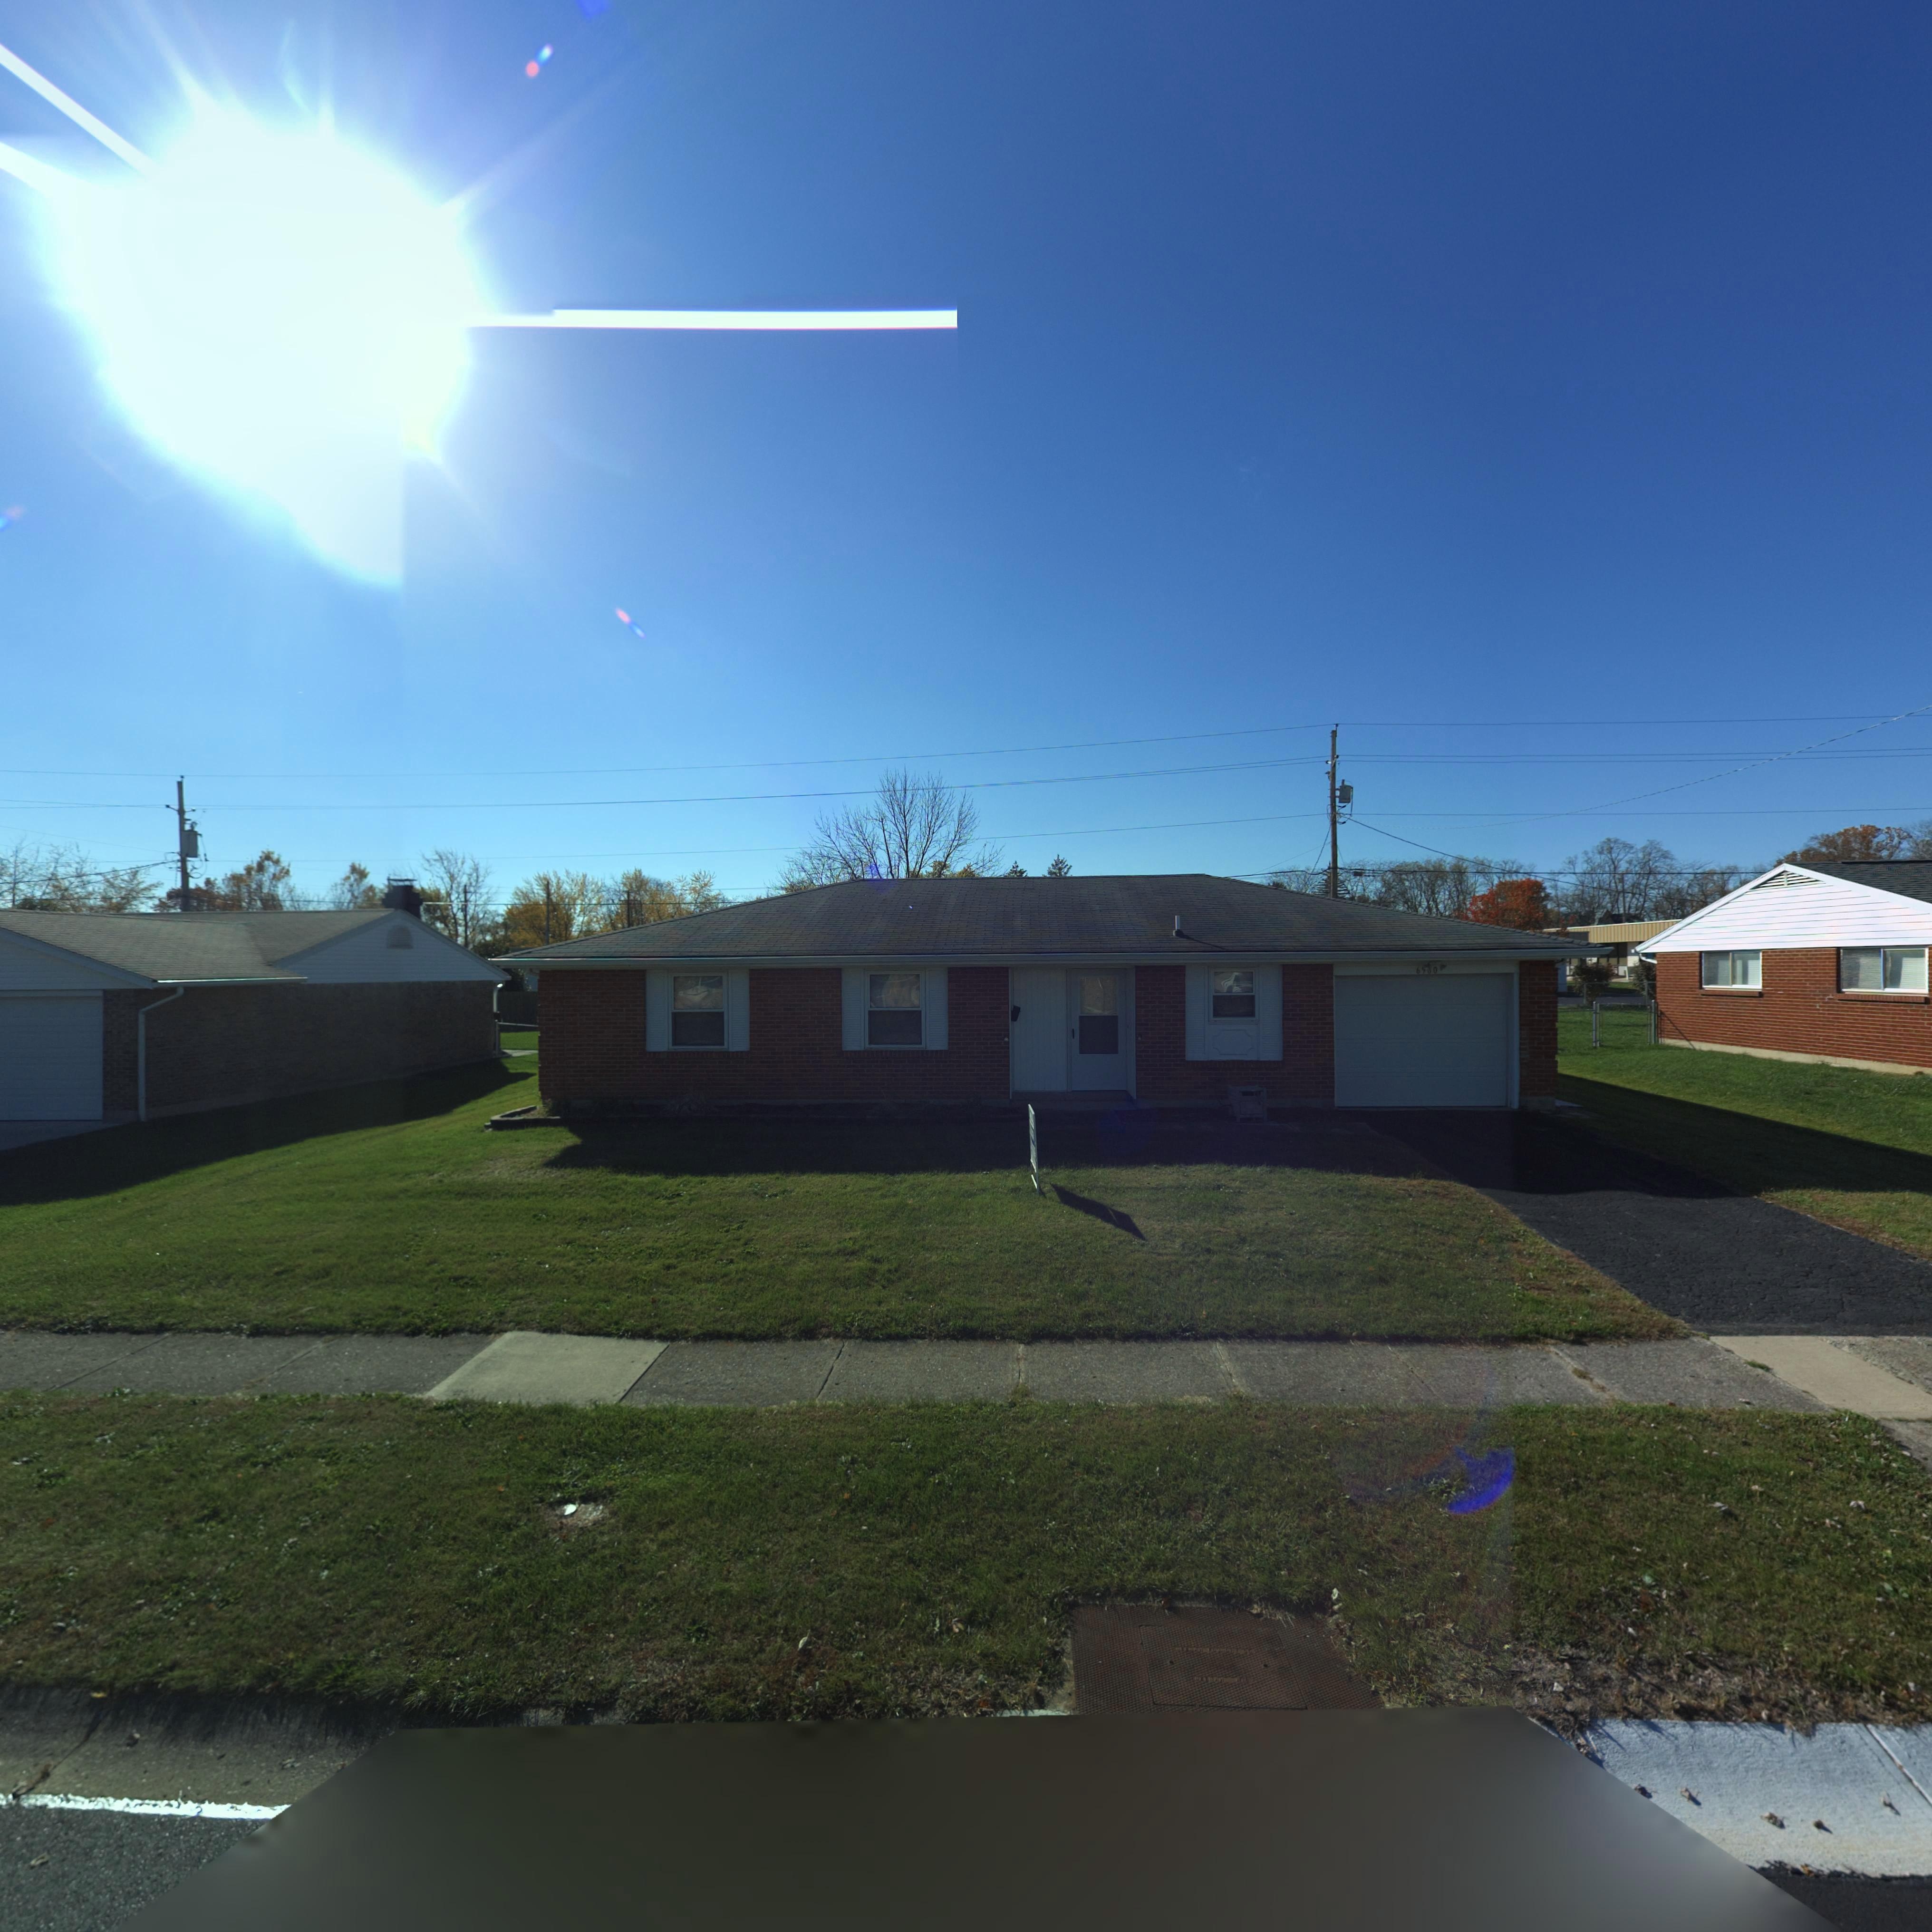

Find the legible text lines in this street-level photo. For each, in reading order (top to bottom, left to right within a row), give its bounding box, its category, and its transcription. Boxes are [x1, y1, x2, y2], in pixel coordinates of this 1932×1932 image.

[1415, 966, 1438, 975] StreetNumber: 6**0